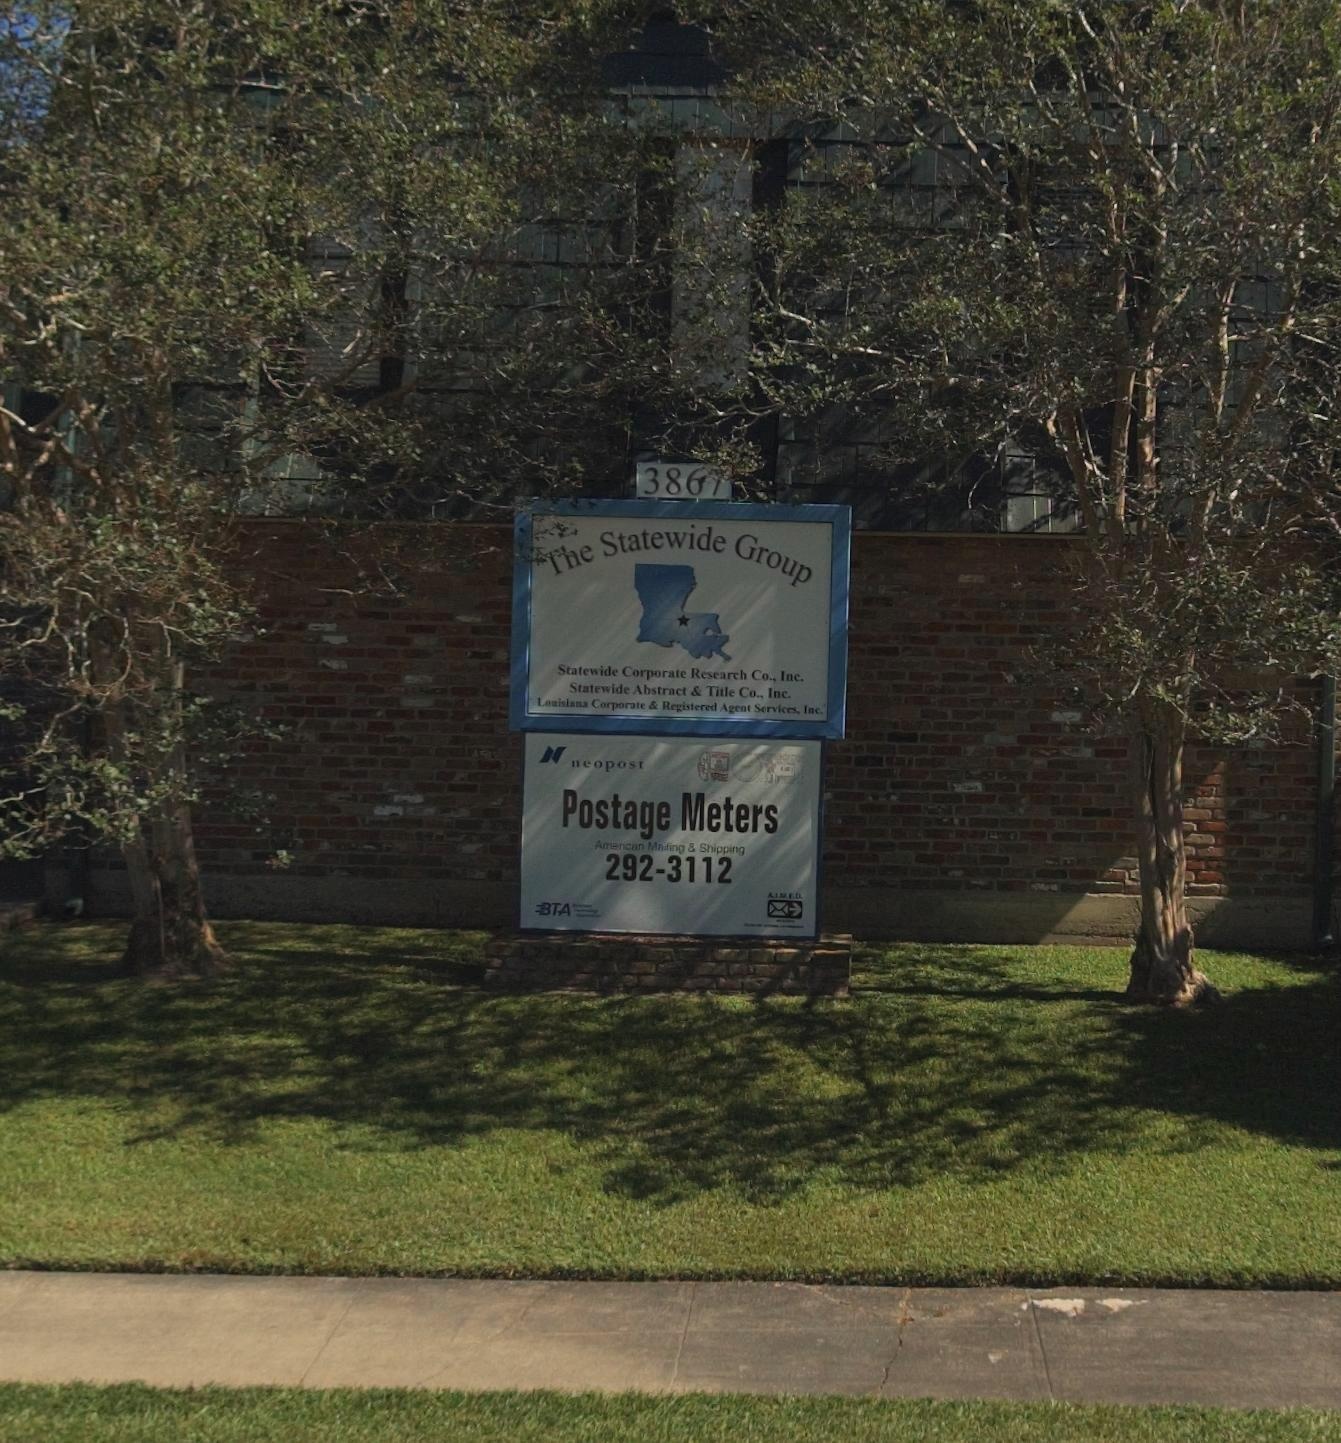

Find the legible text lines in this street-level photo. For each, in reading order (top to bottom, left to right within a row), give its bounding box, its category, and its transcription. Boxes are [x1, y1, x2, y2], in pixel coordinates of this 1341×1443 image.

[640, 464, 708, 498] StreetNumber: 386
[539, 519, 820, 591] BusinessName: The Statewide Group
[555, 661, 808, 685] BusinessName: Statewide Corporate Research Co., Inc.
[566, 679, 796, 703] BusinessName: Statewide Abstract & Title Co., Inc.
[534, 693, 826, 717] BusinessName: Louisiana Corportate & Registered Agent Services, Inc.
[569, 756, 647, 775] BusinessName: neopost
[558, 786, 781, 842] None: Postage Meters
[591, 836, 748, 859] None: Amenican Ma**ing & shipping
[603, 851, 735, 887] None: 292-3112
[536, 897, 574, 919] None: bta